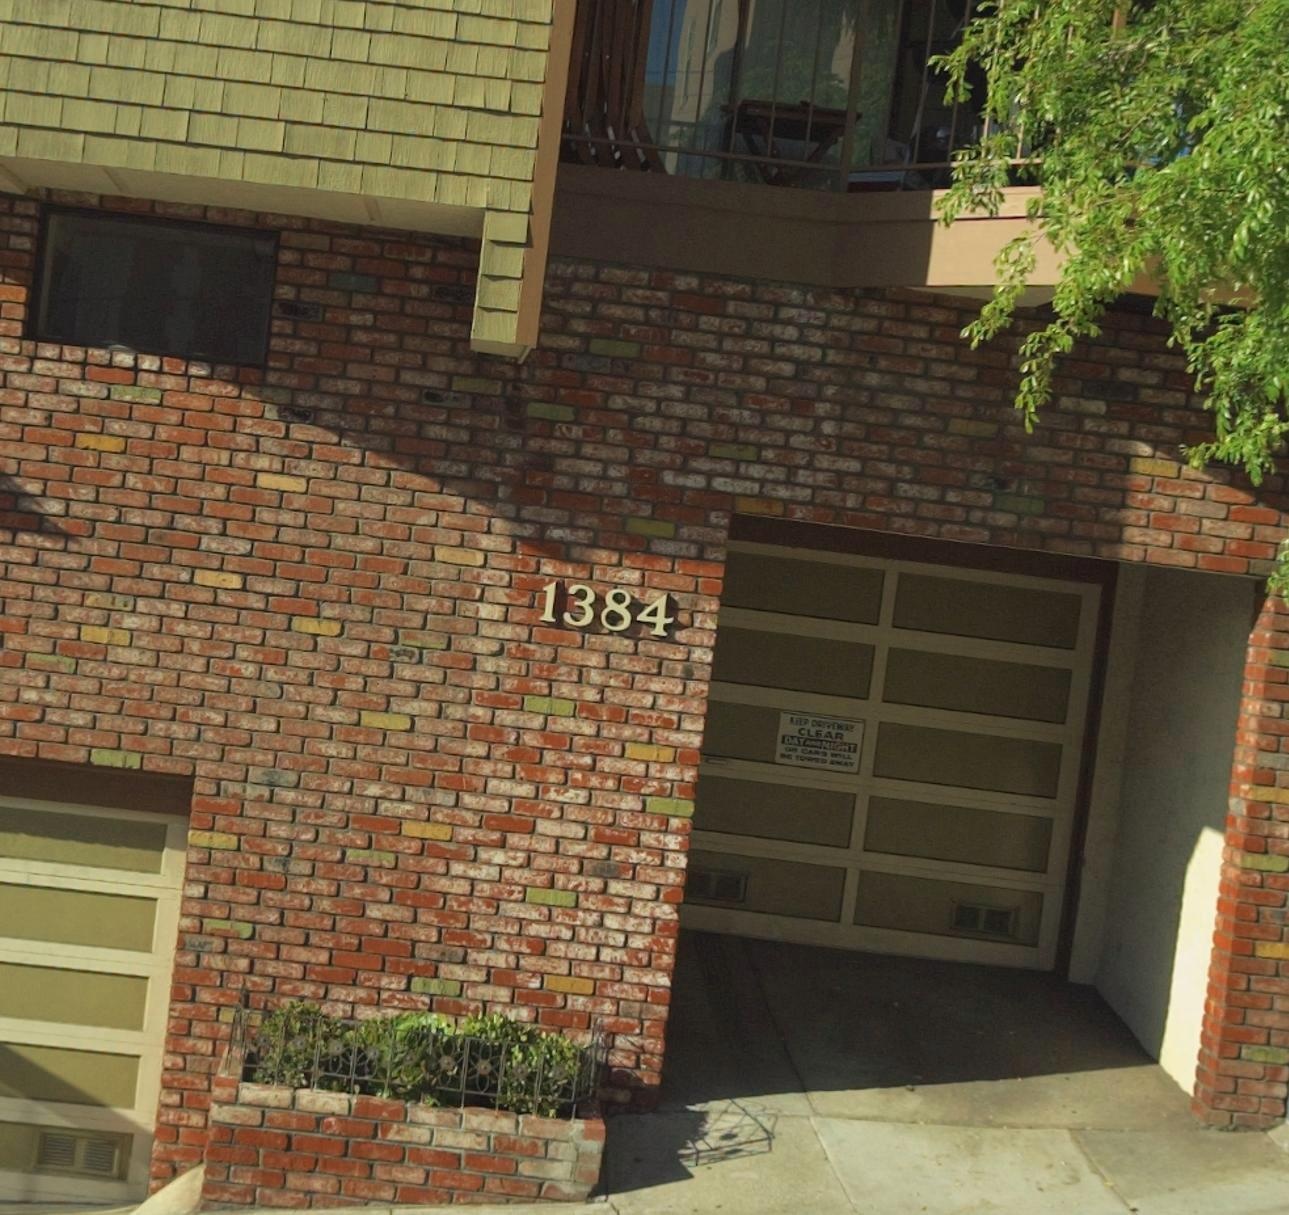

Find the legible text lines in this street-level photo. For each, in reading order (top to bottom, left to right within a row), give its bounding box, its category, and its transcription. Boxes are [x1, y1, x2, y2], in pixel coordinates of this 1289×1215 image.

[536, 577, 676, 640] StreetNumber: 1384
[777, 751, 856, 769] None: BE TOWED AWAY
[783, 745, 853, 761] None: OR CARS WILL
[782, 734, 857, 754] None: DAY AND NIGHT
[797, 726, 844, 742] None: CLEAR
[789, 714, 858, 734] None: KEEP DELIVERY